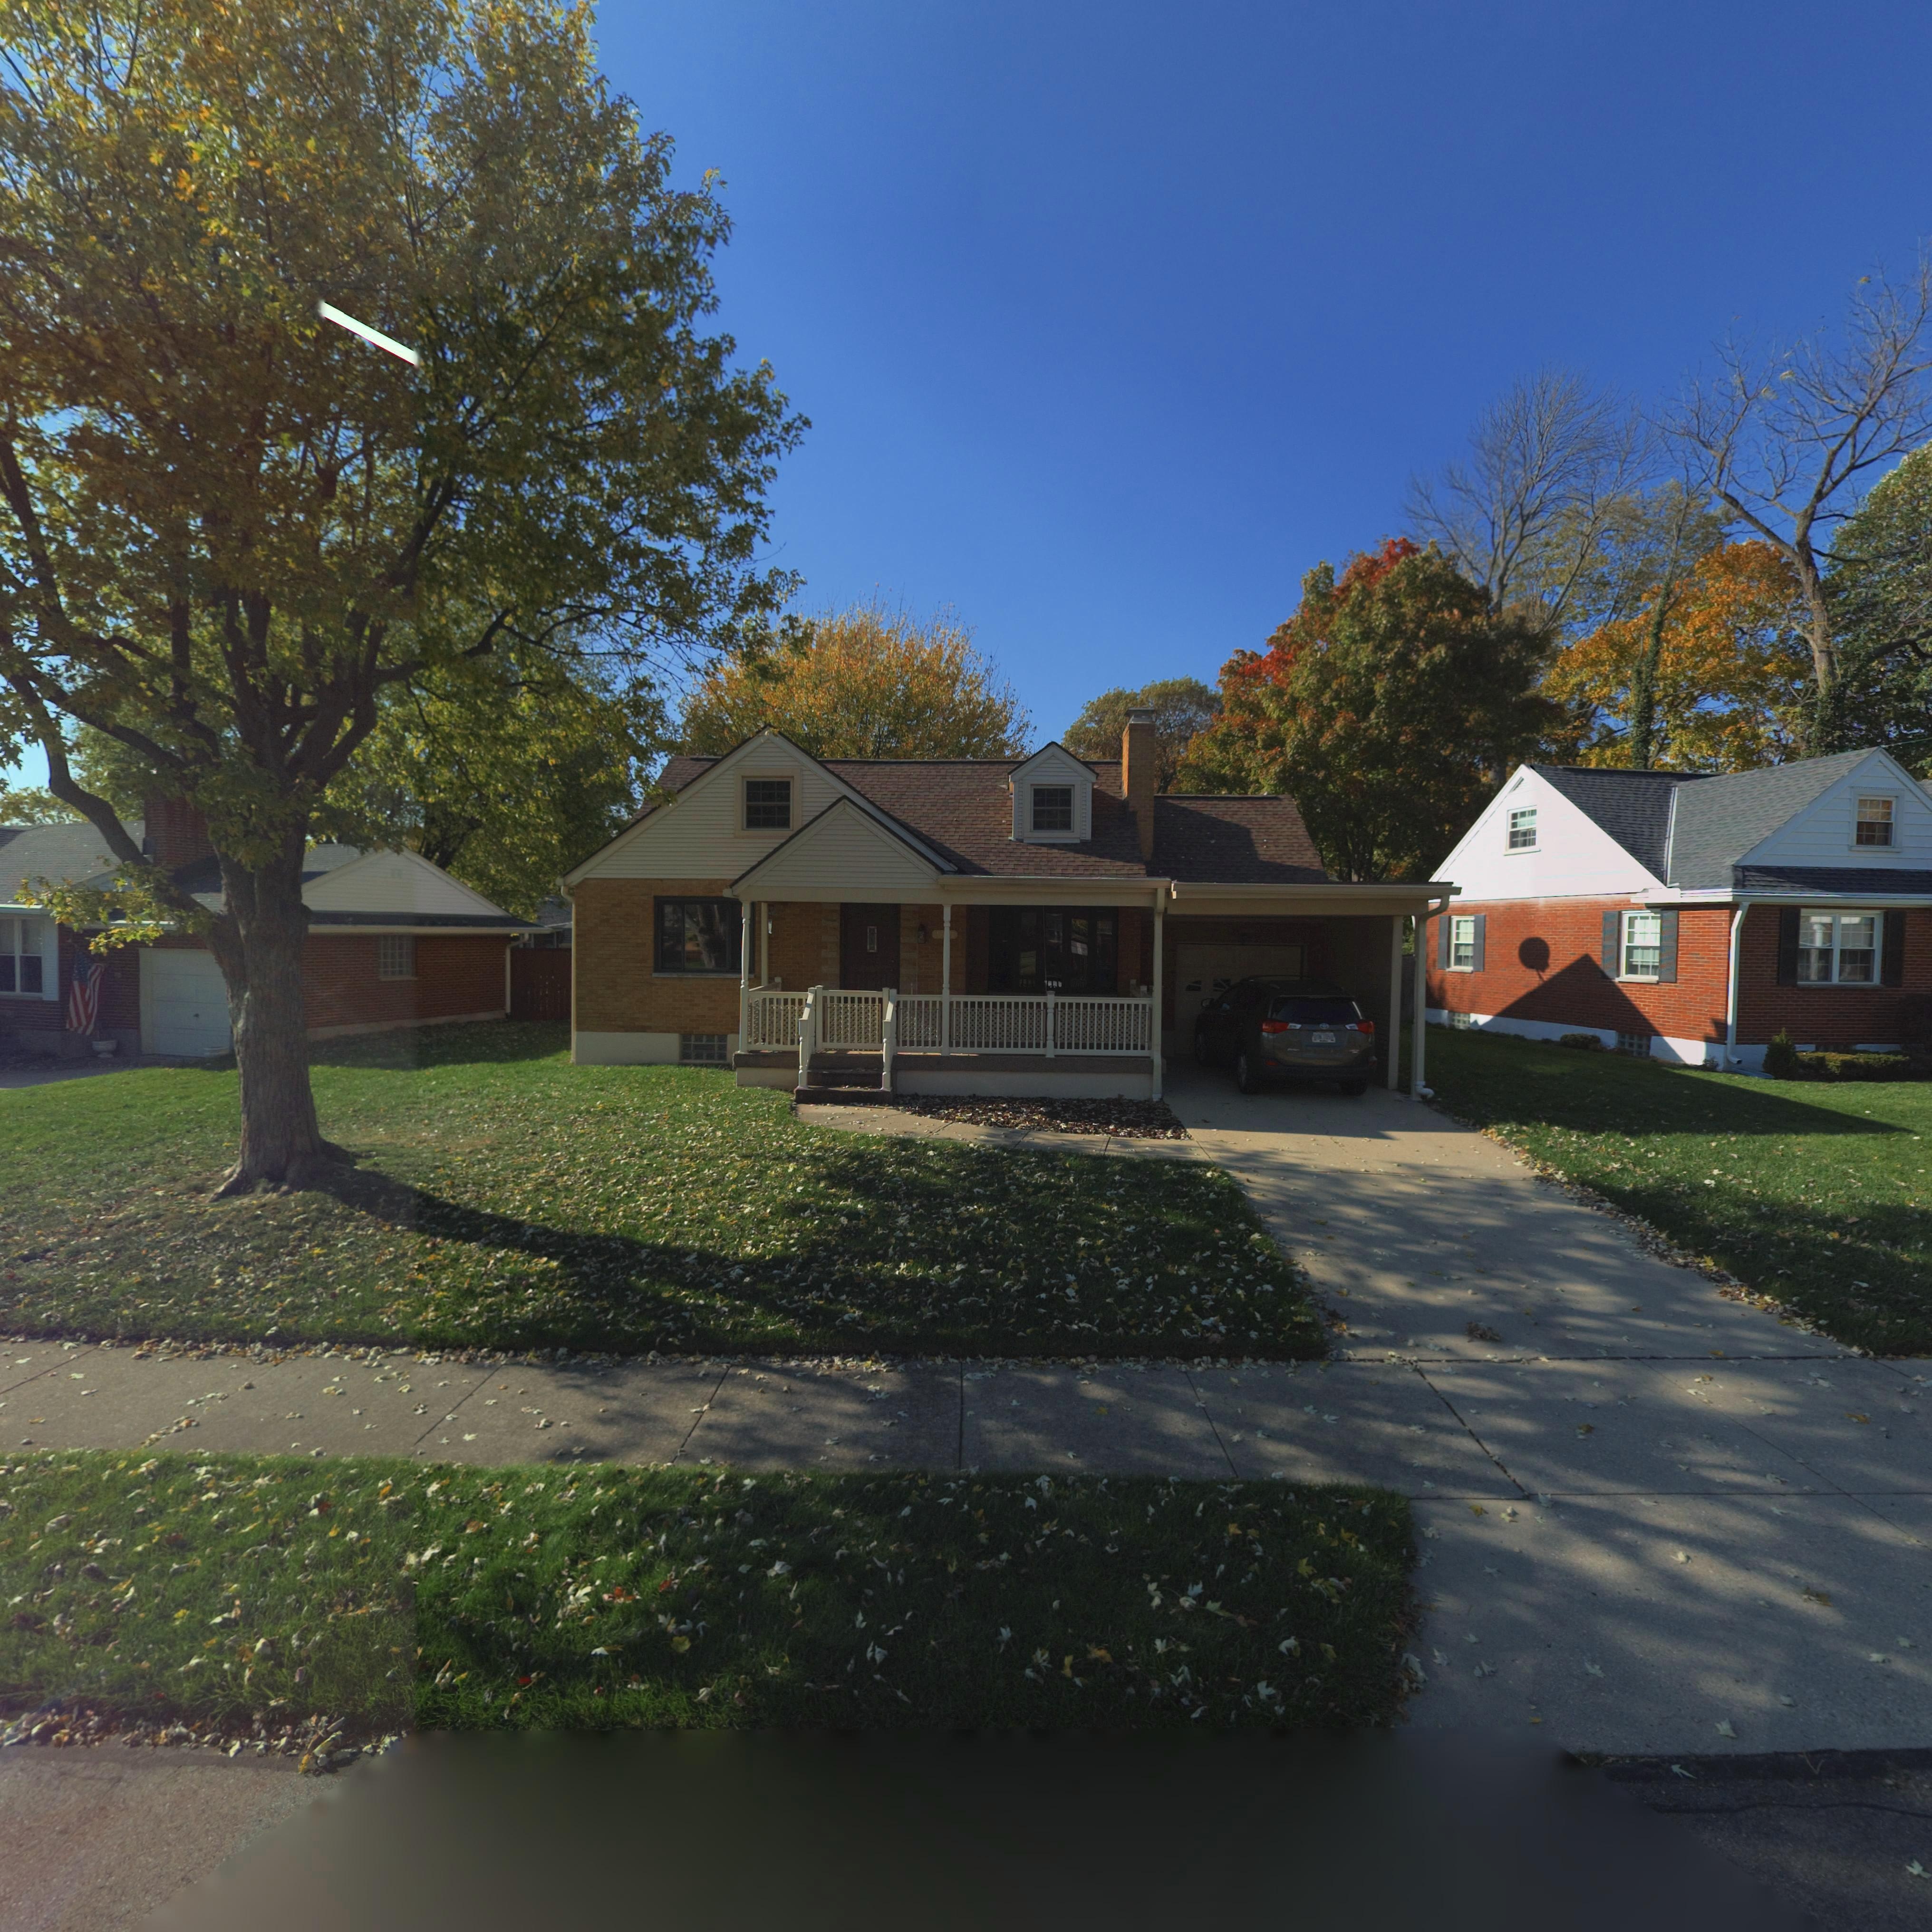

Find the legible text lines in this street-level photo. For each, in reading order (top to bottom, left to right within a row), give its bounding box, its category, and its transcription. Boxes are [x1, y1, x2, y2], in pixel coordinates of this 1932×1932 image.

[1313, 1034, 1333, 1040] None: B*N*7059